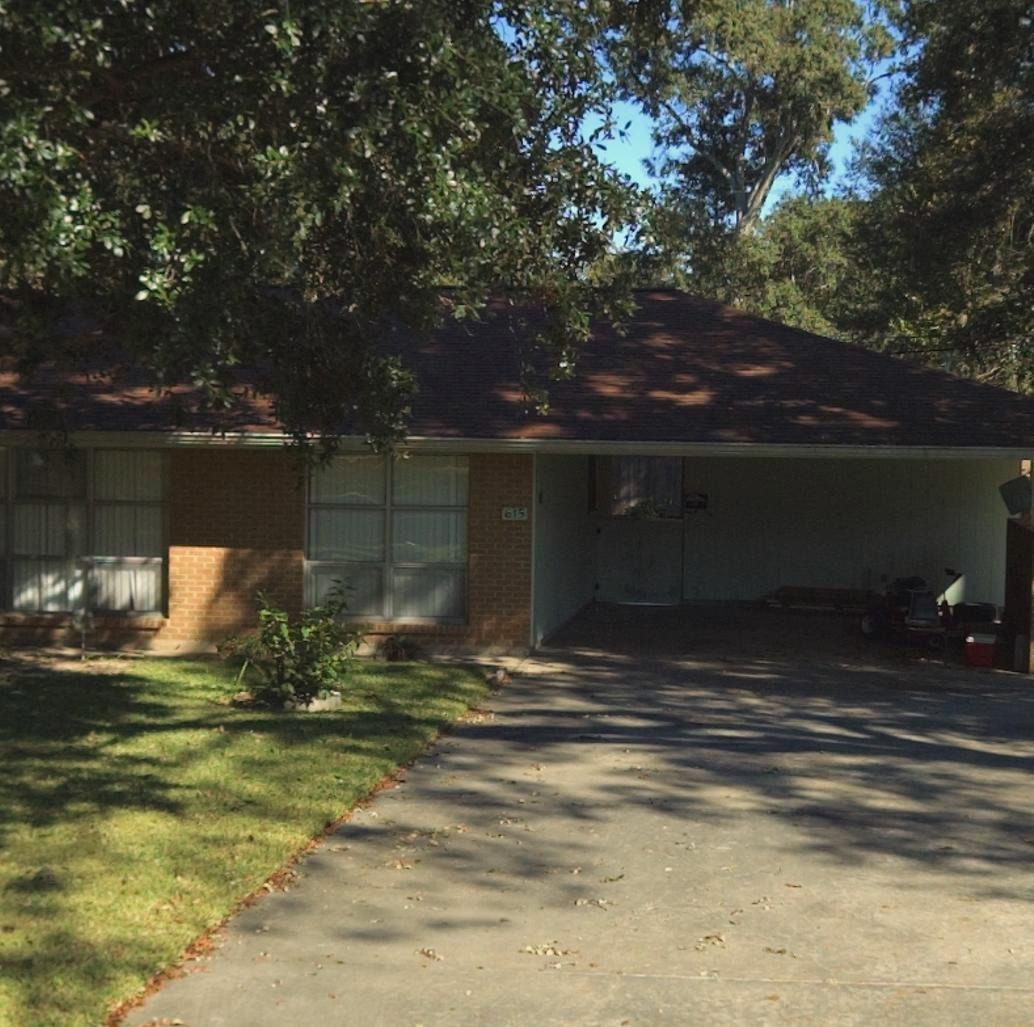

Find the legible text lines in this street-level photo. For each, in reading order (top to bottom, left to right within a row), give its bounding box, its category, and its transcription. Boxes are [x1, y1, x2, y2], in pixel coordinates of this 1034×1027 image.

[503, 507, 526, 519] StreetNumber: 615